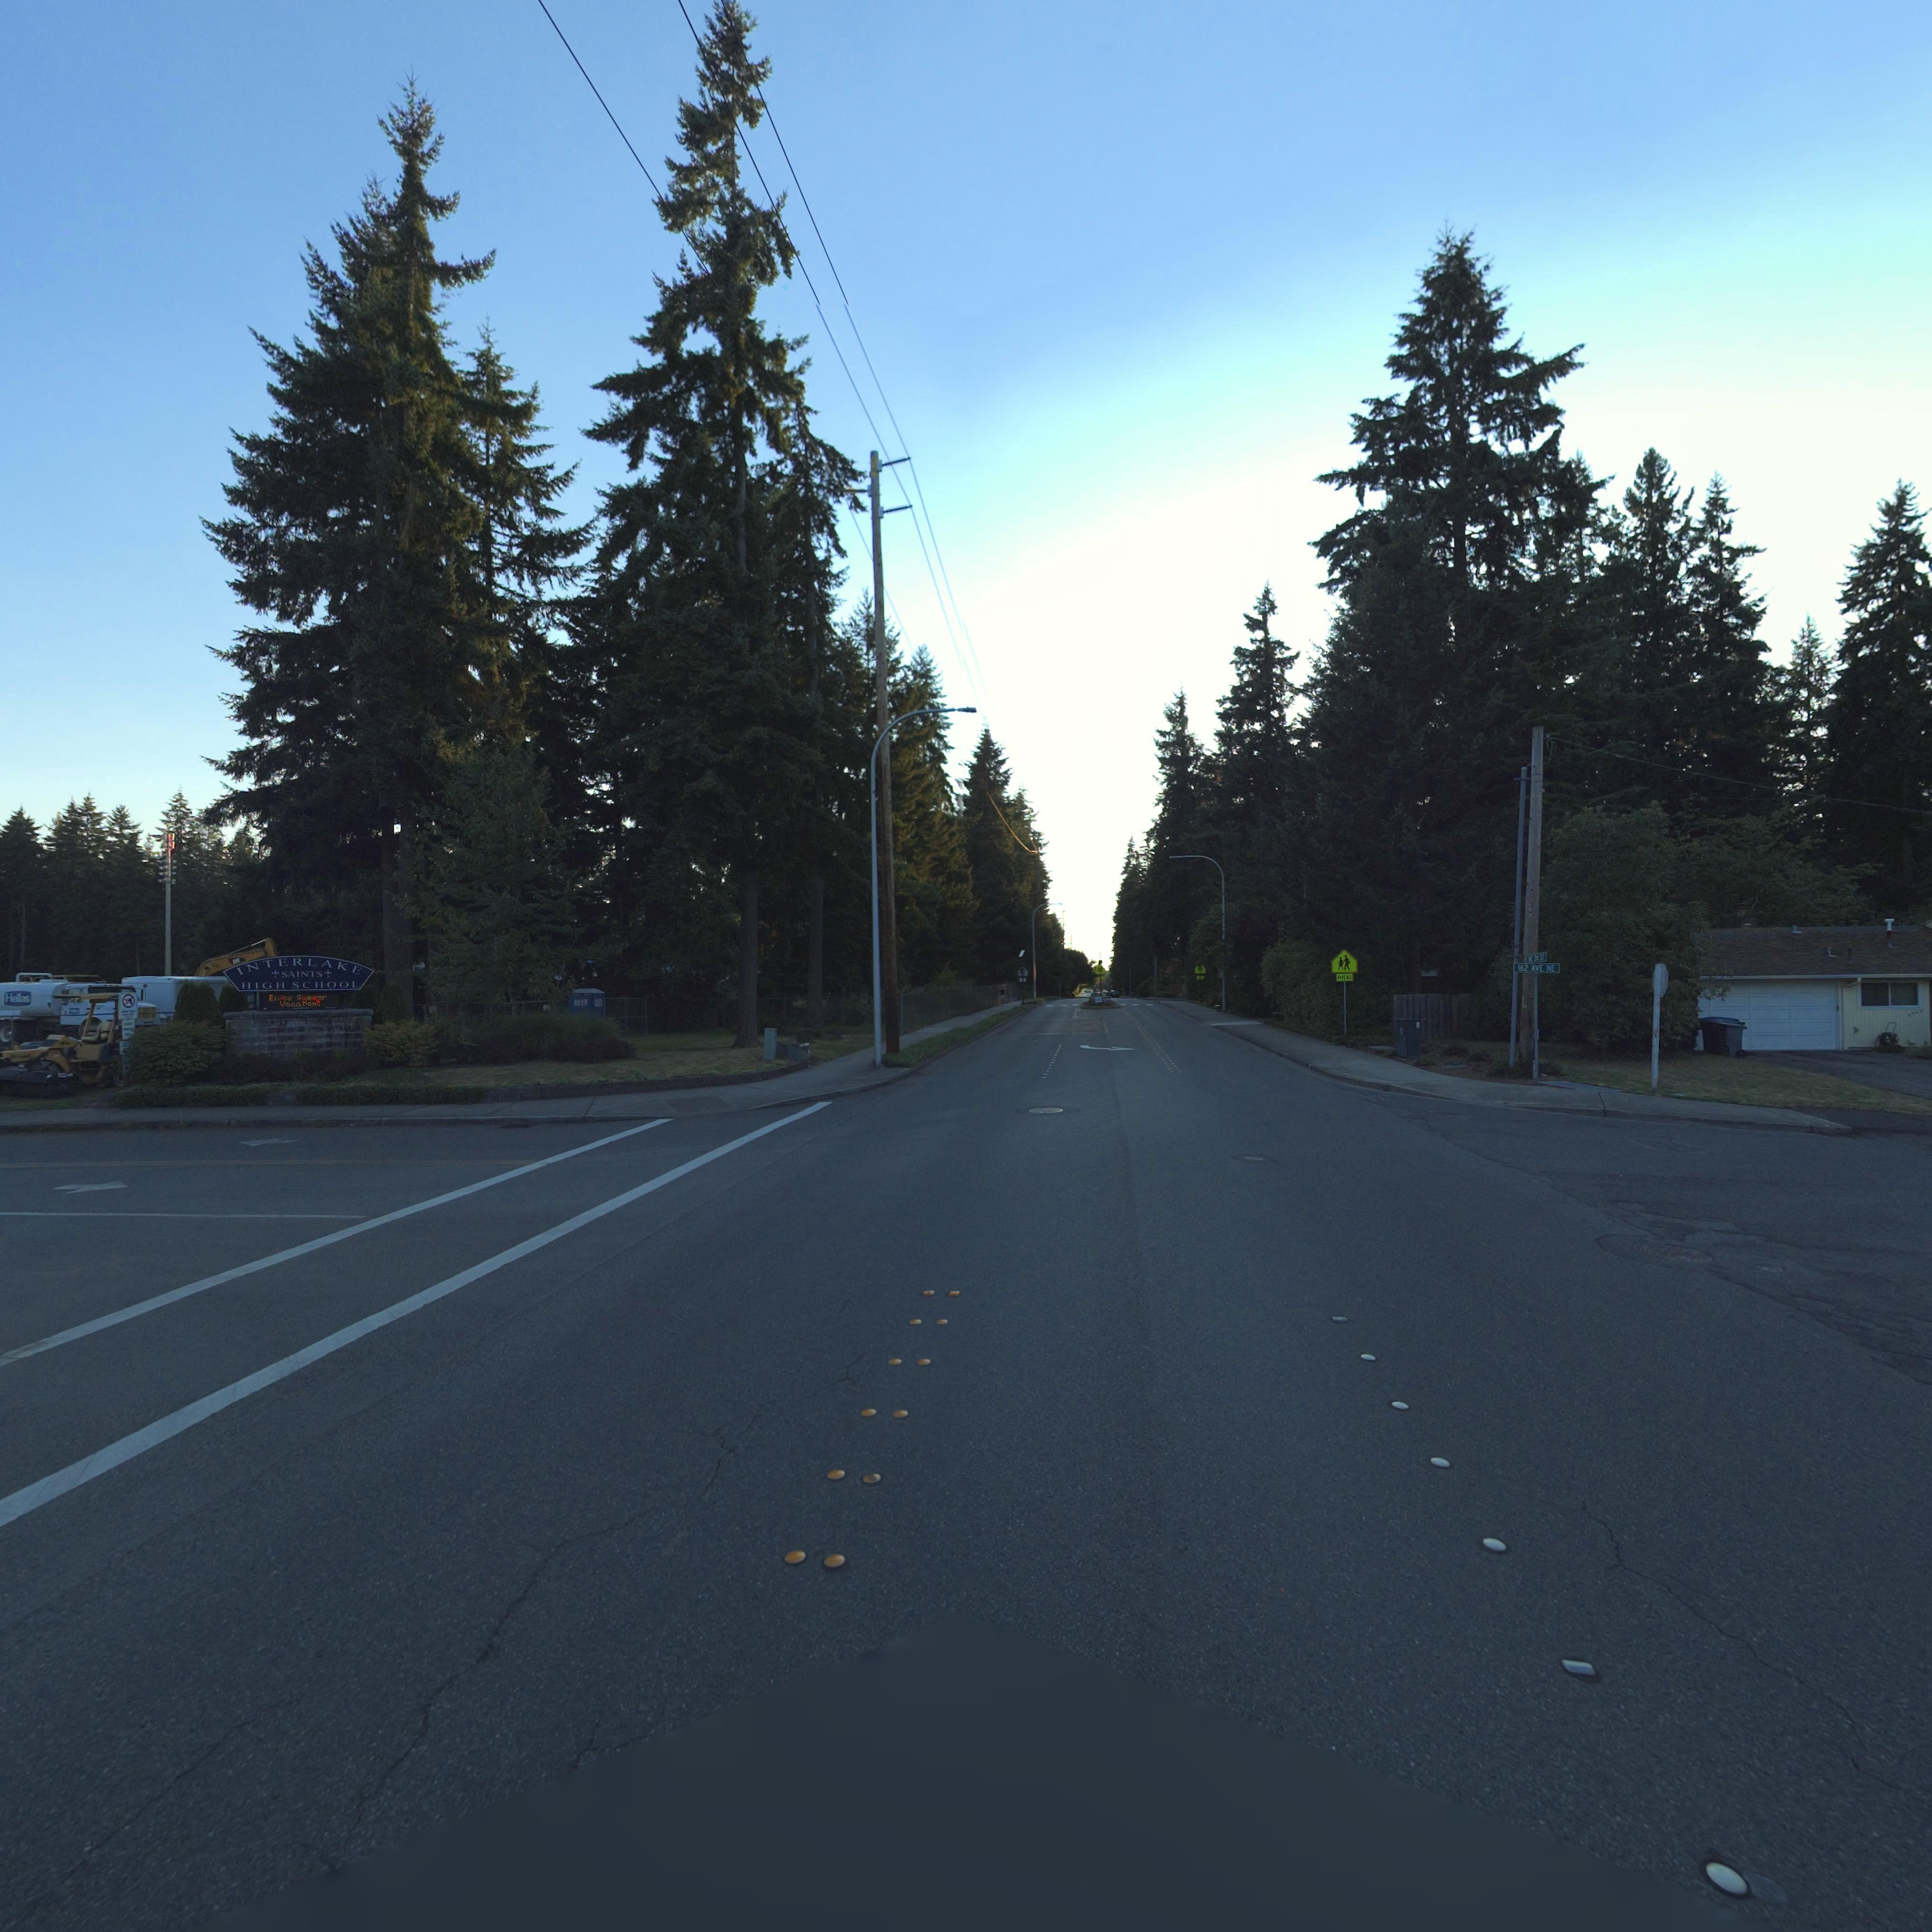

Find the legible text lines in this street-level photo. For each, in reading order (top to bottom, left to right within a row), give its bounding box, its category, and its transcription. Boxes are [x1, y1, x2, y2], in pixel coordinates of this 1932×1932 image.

[1528, 953, 1544, 962] StreetName: NE 24 ST
[235, 956, 363, 976] BusinessName: INTERLKE
[1518, 964, 1555, 972] StreetName: 162 AVE NE
[242, 981, 359, 989] BusinessName: HIGH SCHOOL